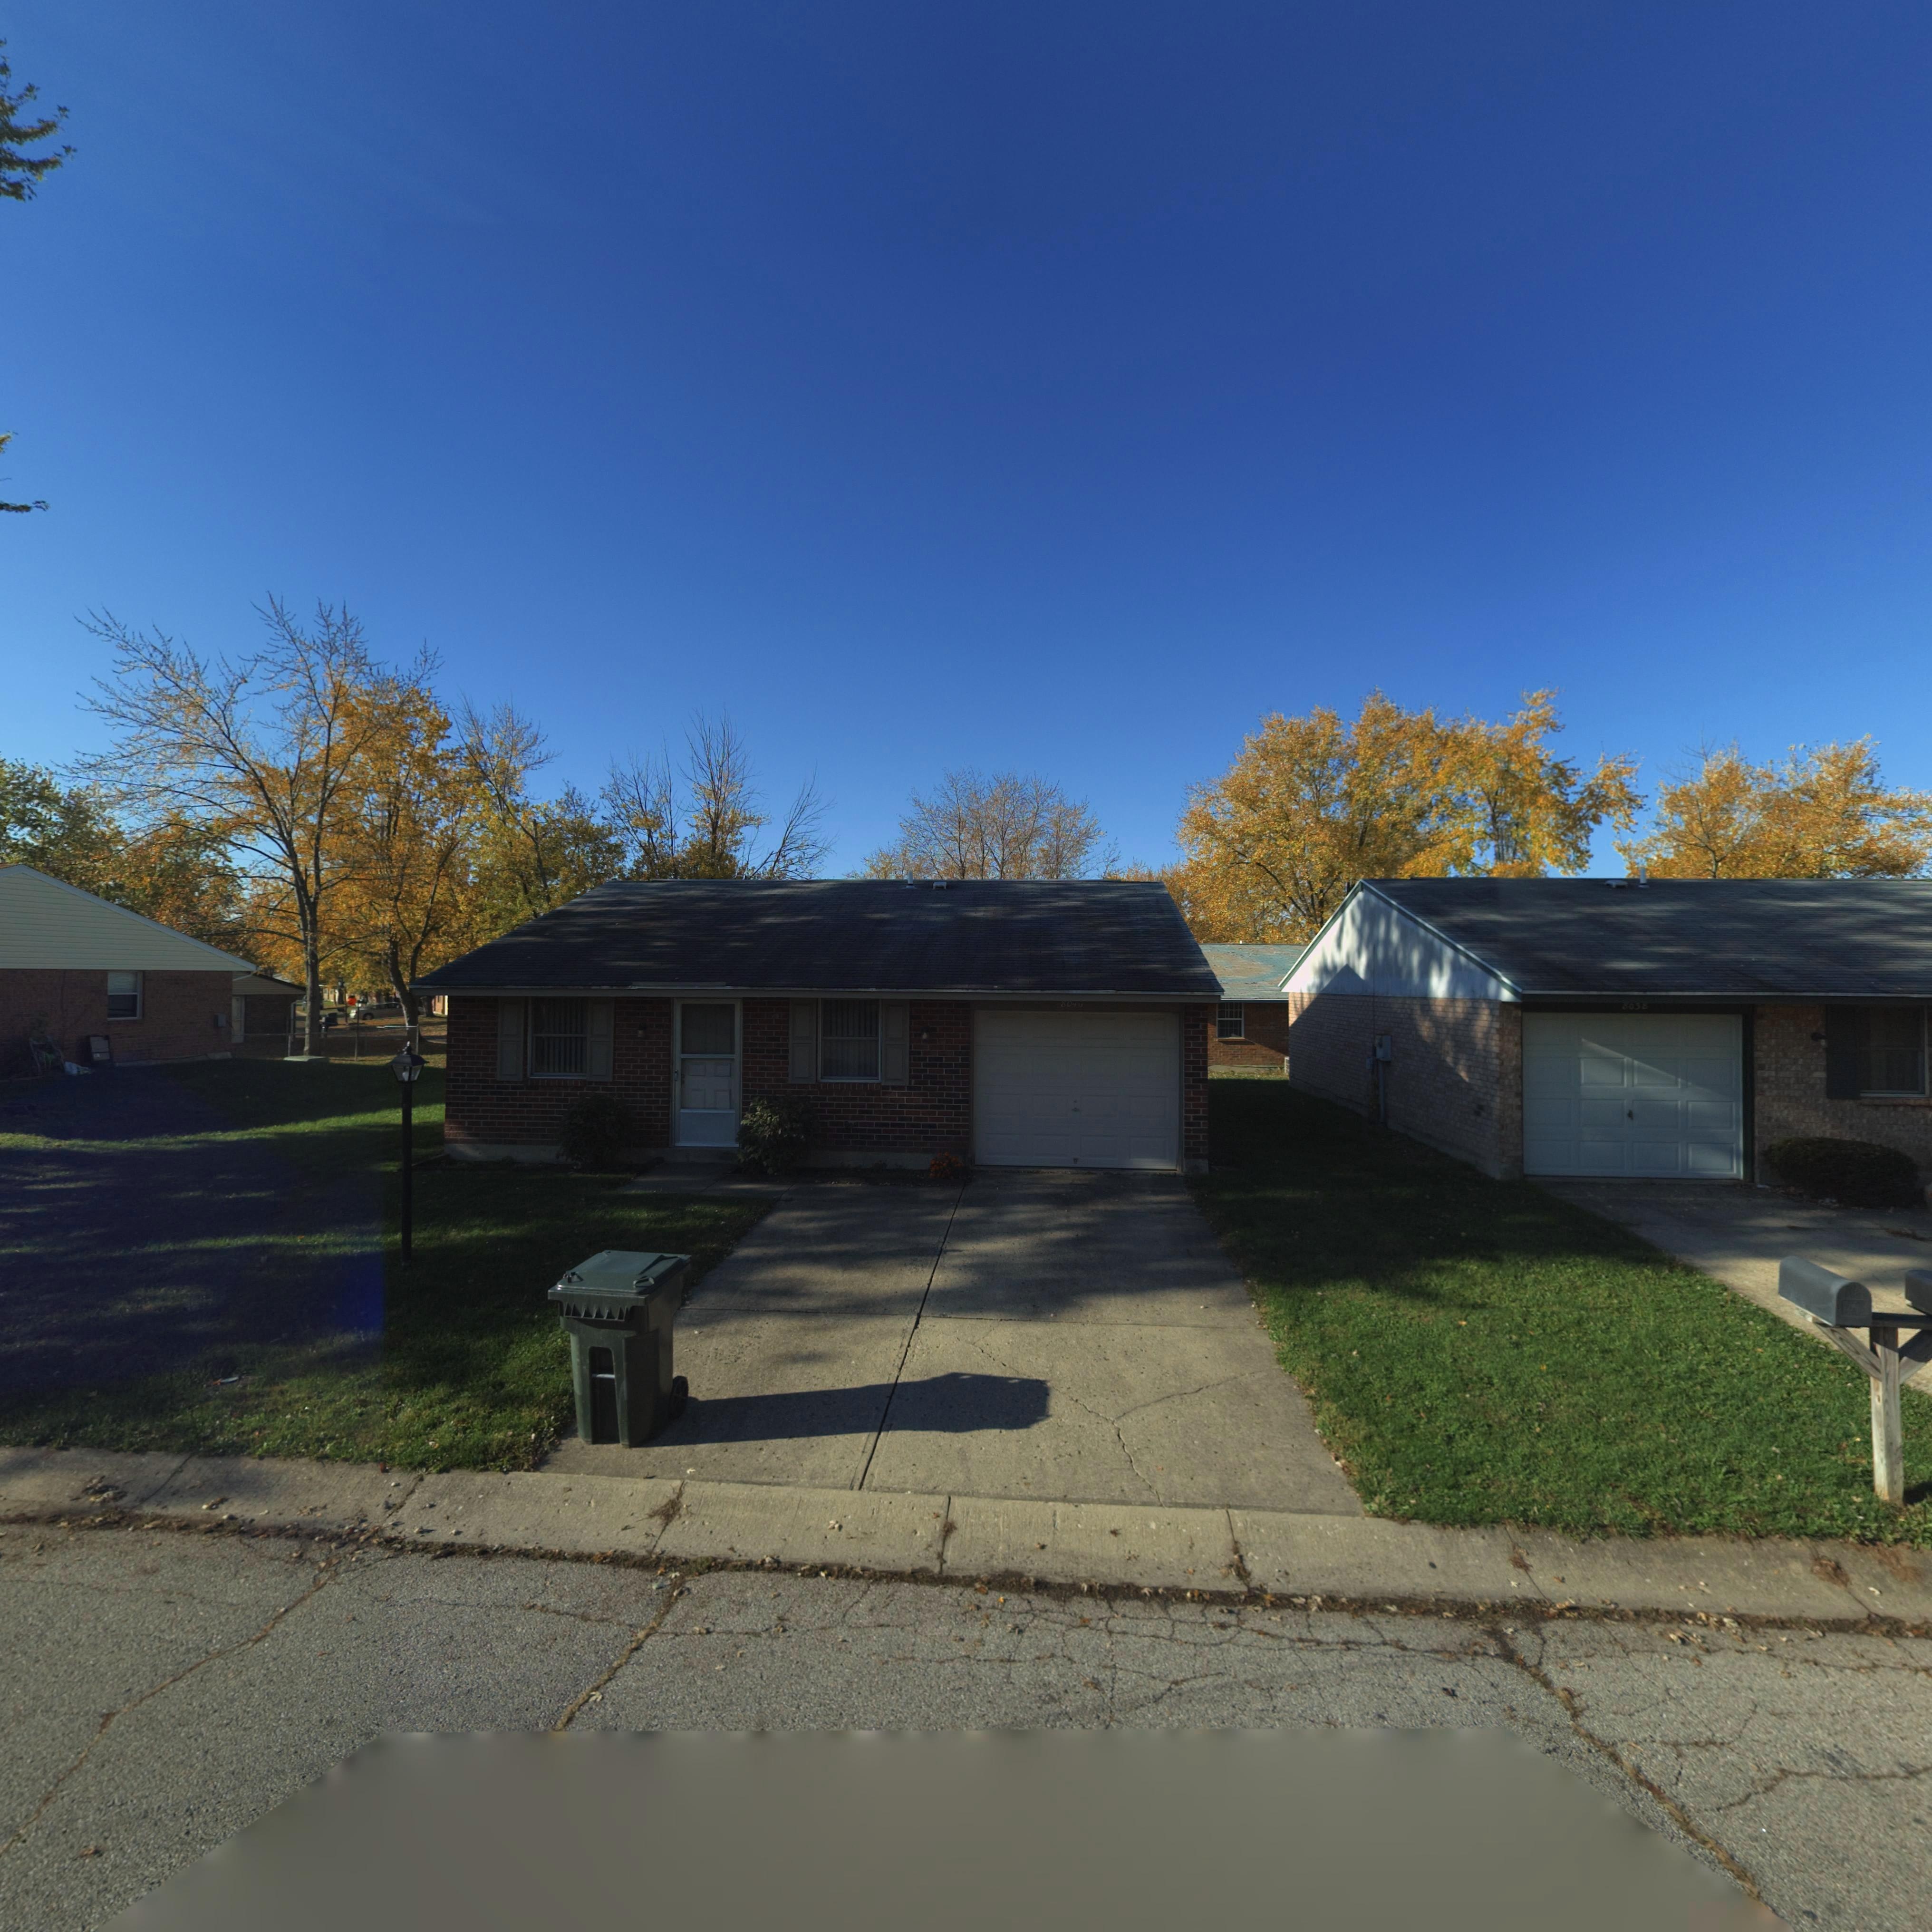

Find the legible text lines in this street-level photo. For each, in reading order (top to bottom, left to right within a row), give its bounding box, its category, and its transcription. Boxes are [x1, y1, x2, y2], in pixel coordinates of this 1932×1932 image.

[1059, 1000, 1084, 1009] StreetNumber: *0**
[1622, 1002, 1650, 1011] StreetNumber: *0**